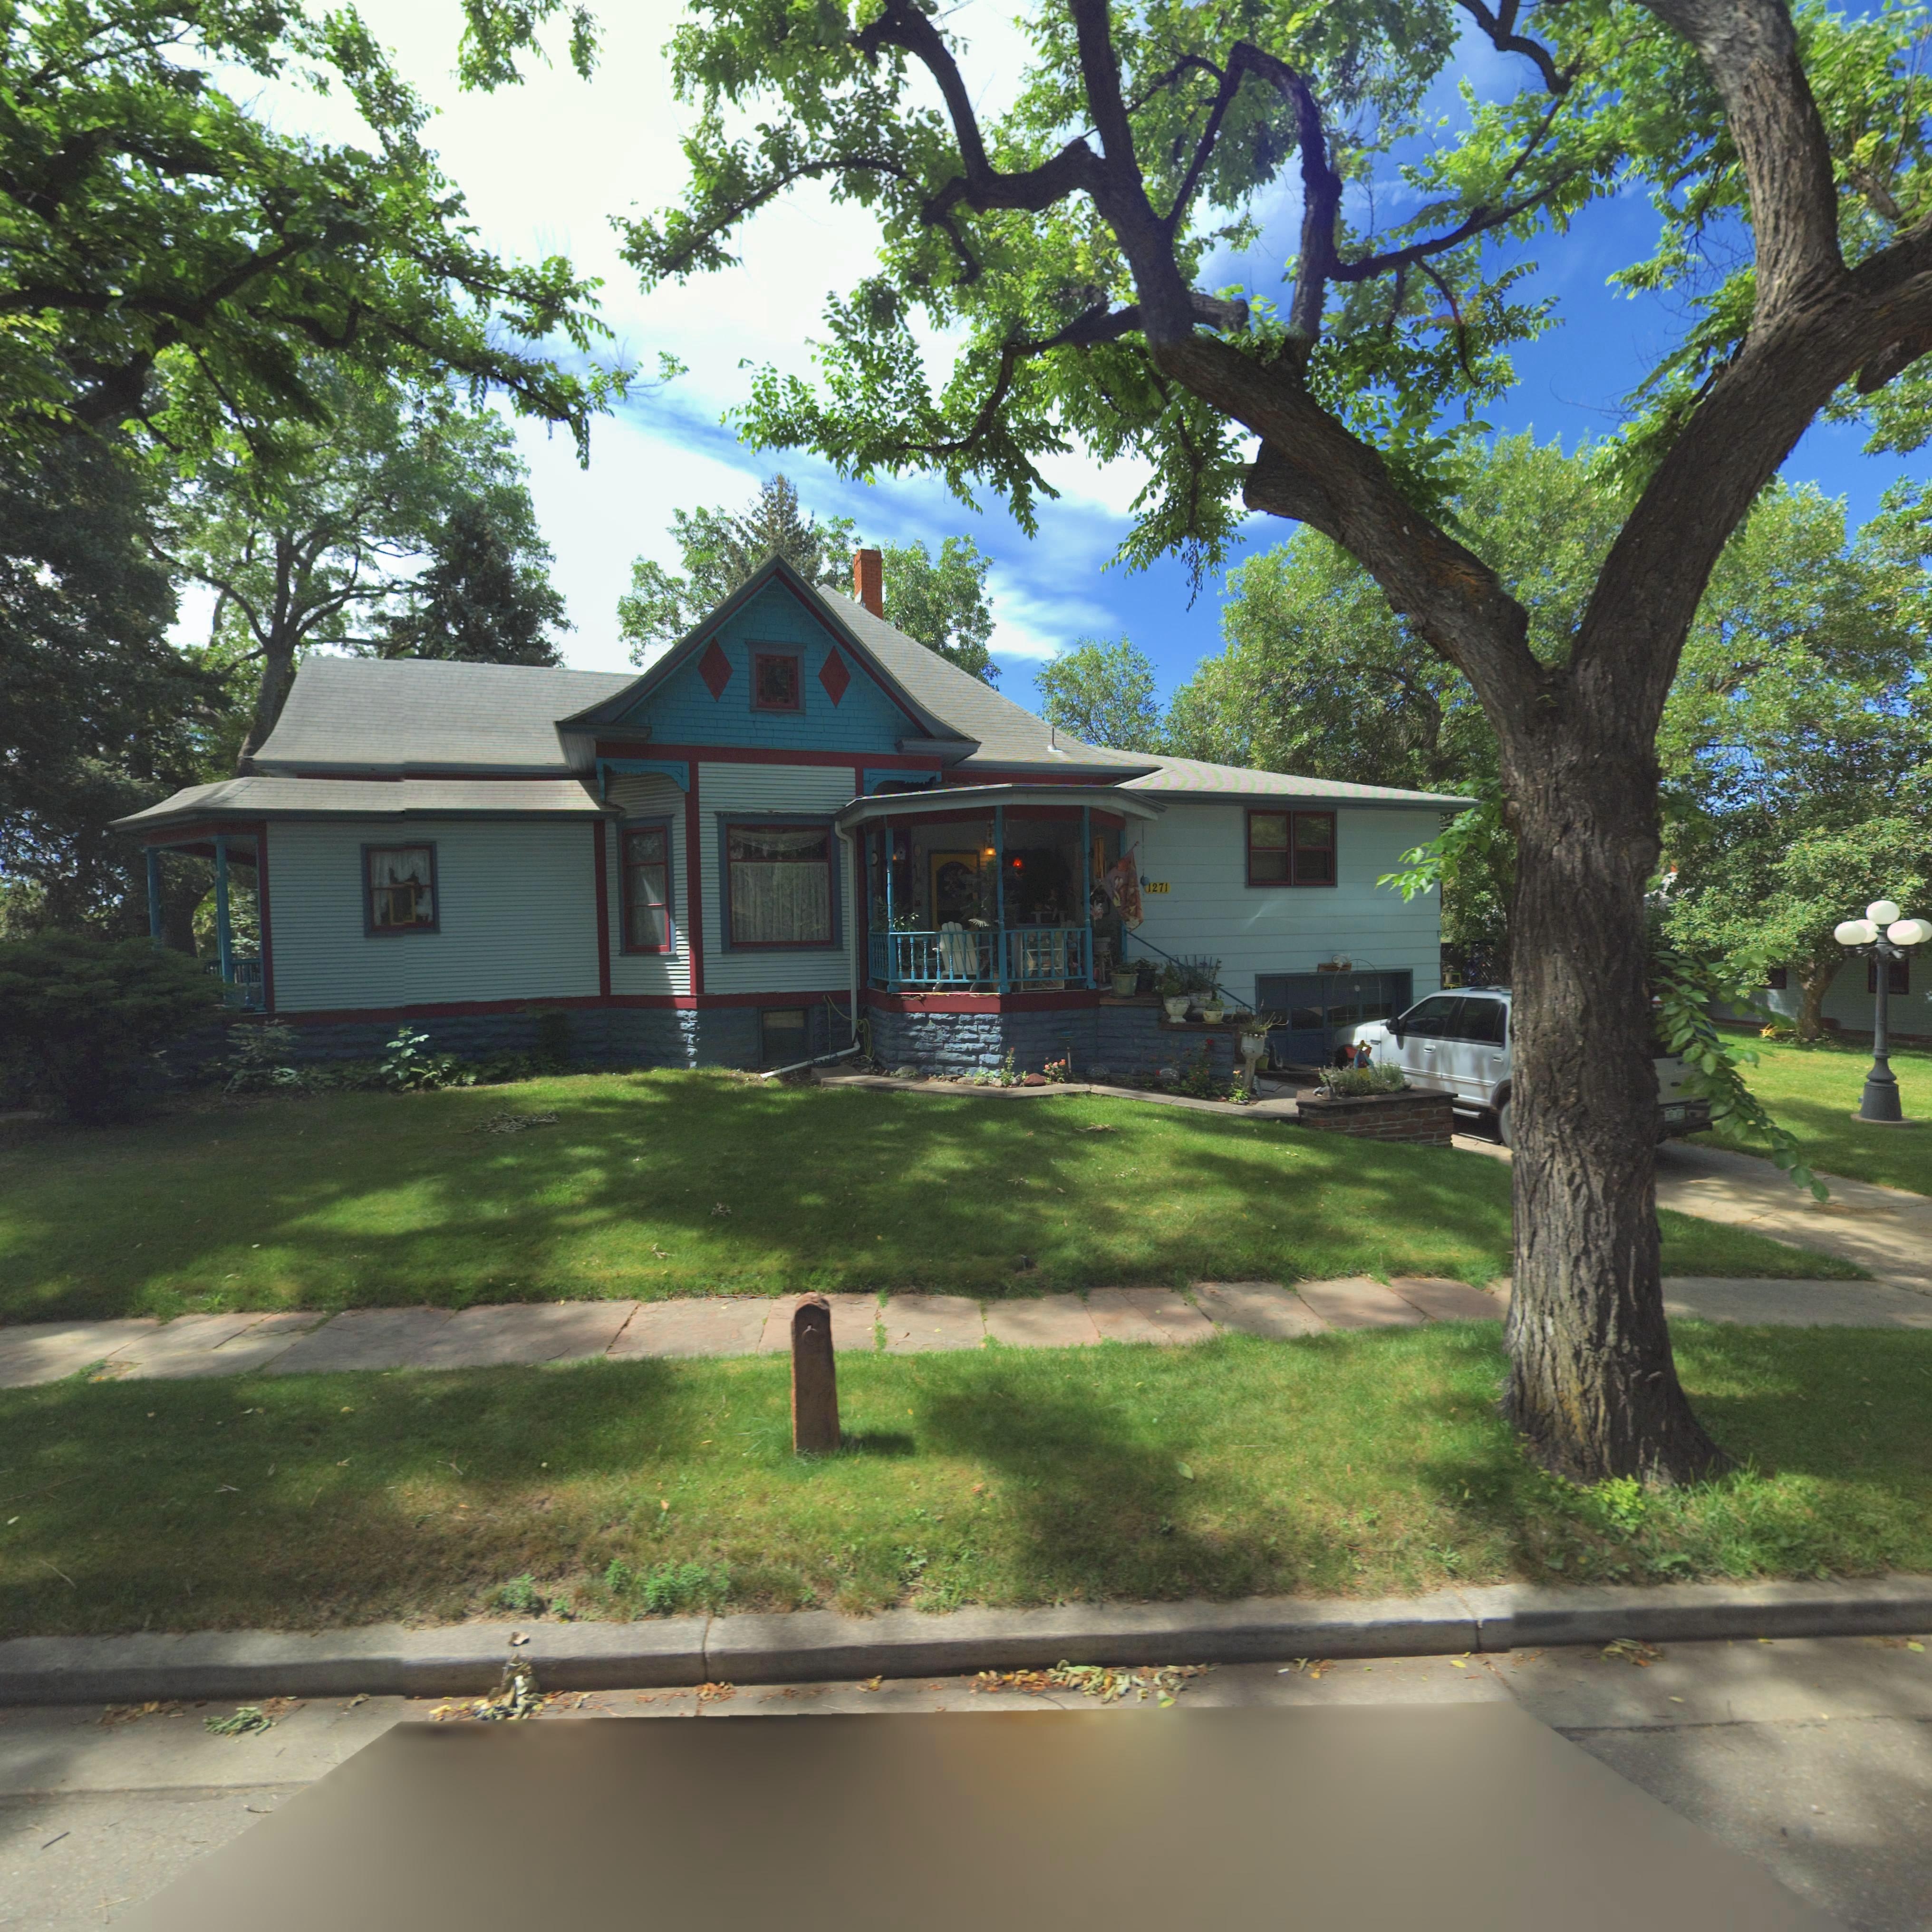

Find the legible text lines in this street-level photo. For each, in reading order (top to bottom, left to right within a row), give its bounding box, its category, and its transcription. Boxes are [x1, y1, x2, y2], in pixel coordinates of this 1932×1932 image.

[1148, 882, 1168, 892] StreetNumber: 1271